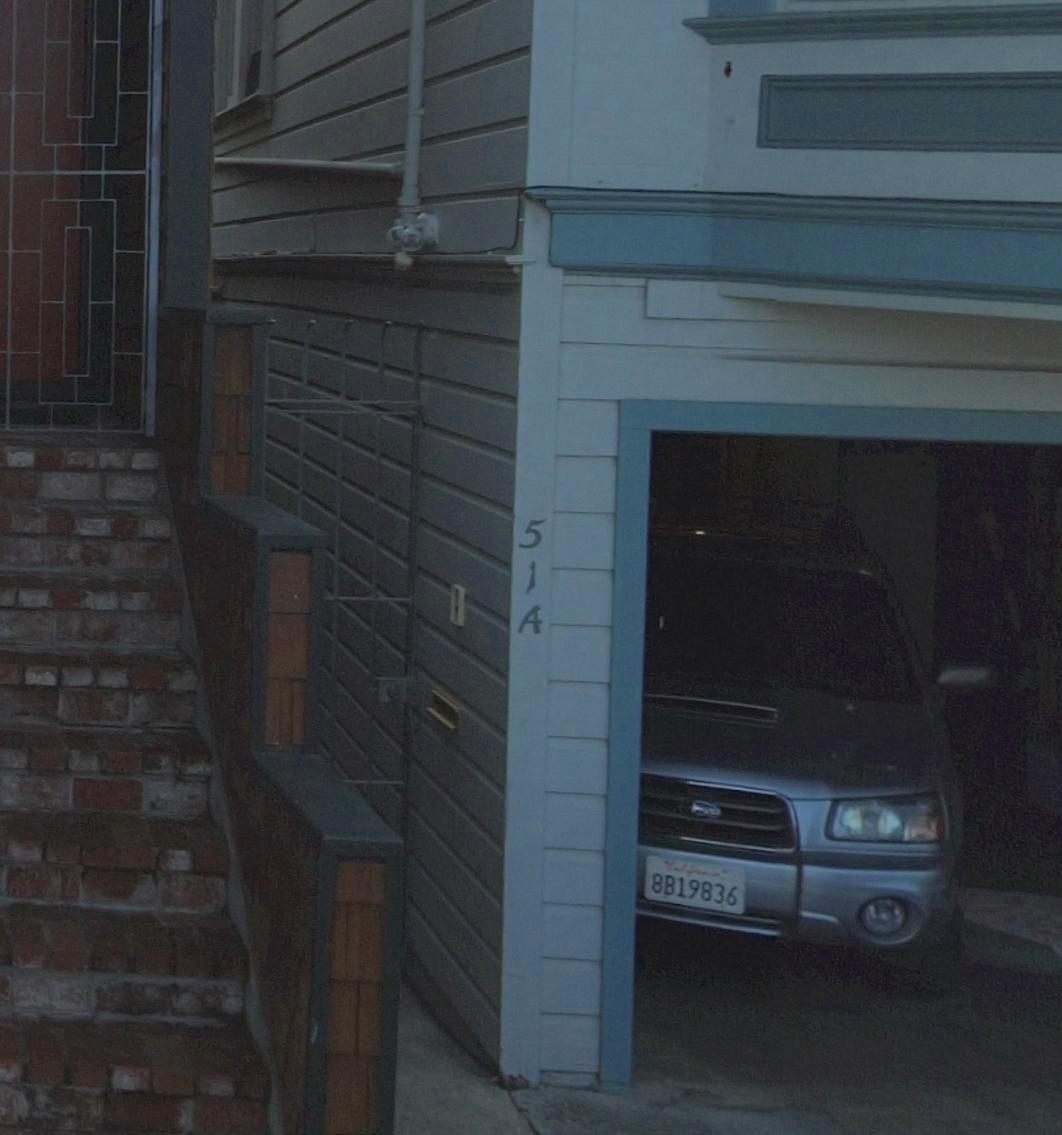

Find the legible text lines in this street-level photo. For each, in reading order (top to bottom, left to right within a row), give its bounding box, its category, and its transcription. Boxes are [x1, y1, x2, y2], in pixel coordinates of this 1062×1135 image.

[518, 518, 547, 635] StreetNumber: 51A
[651, 871, 739, 907] None: 8B19836